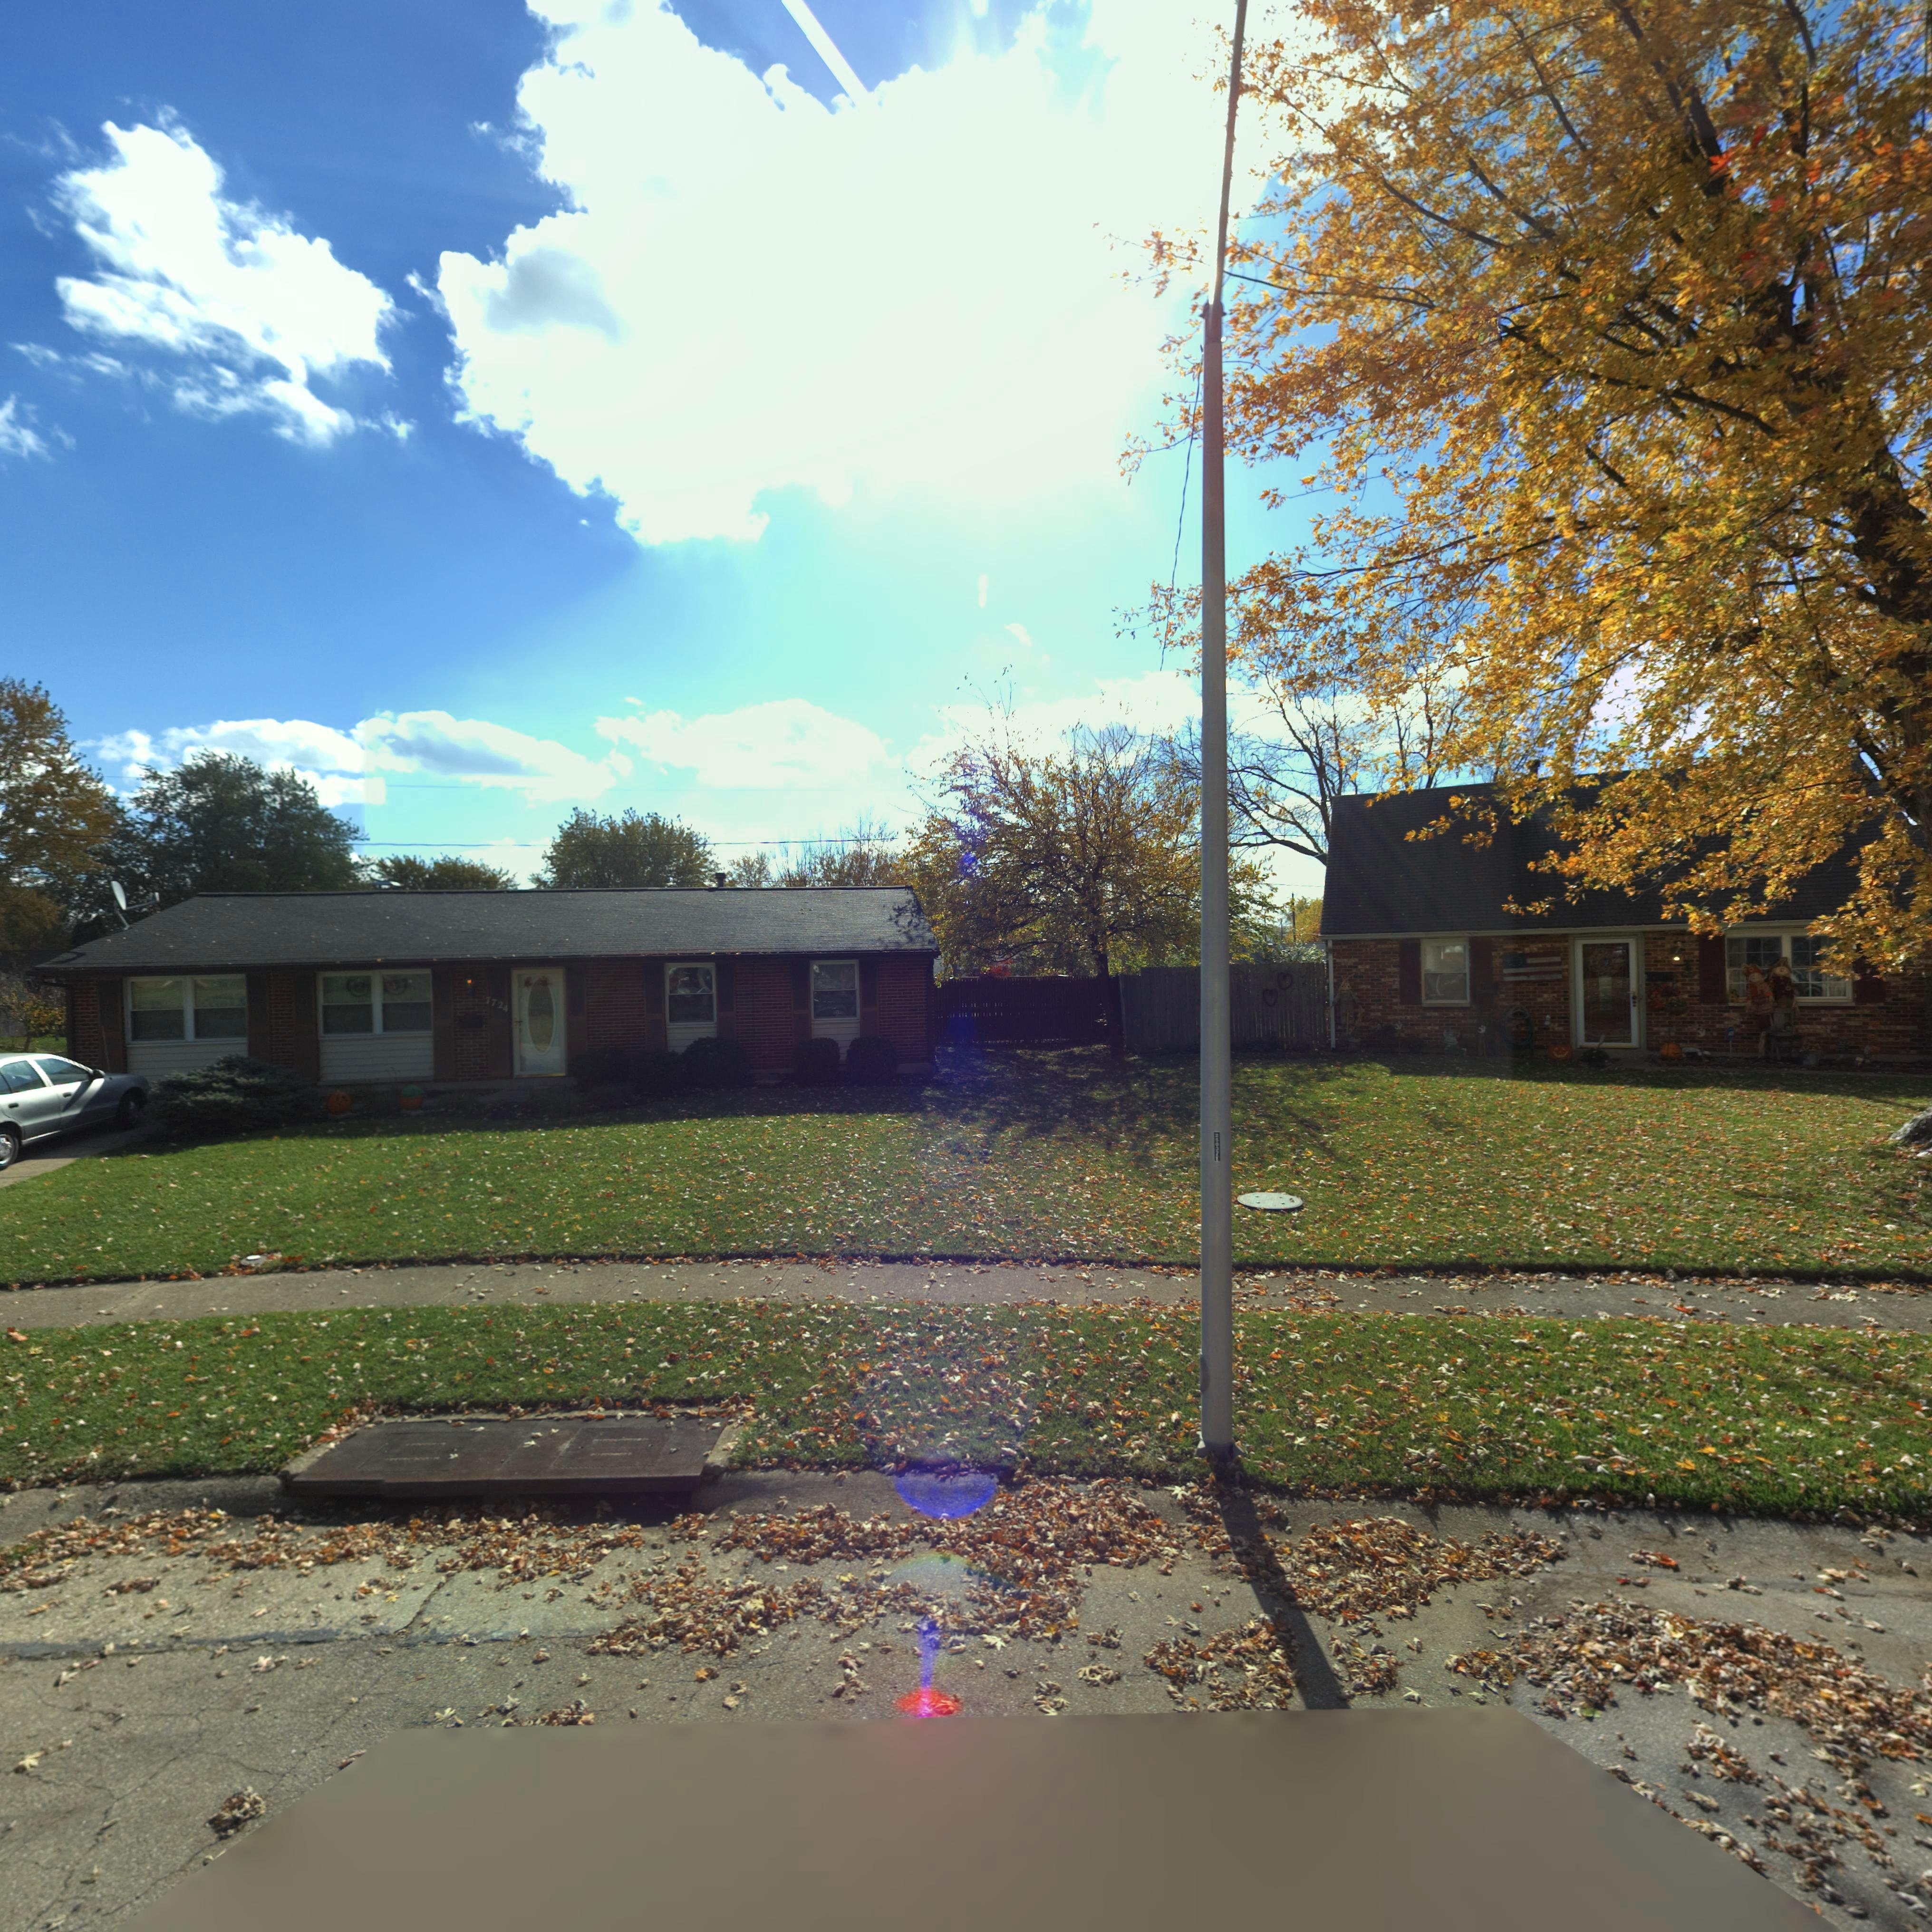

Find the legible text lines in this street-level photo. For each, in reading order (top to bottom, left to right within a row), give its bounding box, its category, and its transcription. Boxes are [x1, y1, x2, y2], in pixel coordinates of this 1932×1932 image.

[485, 996, 509, 1013] StreetNumber: 7724